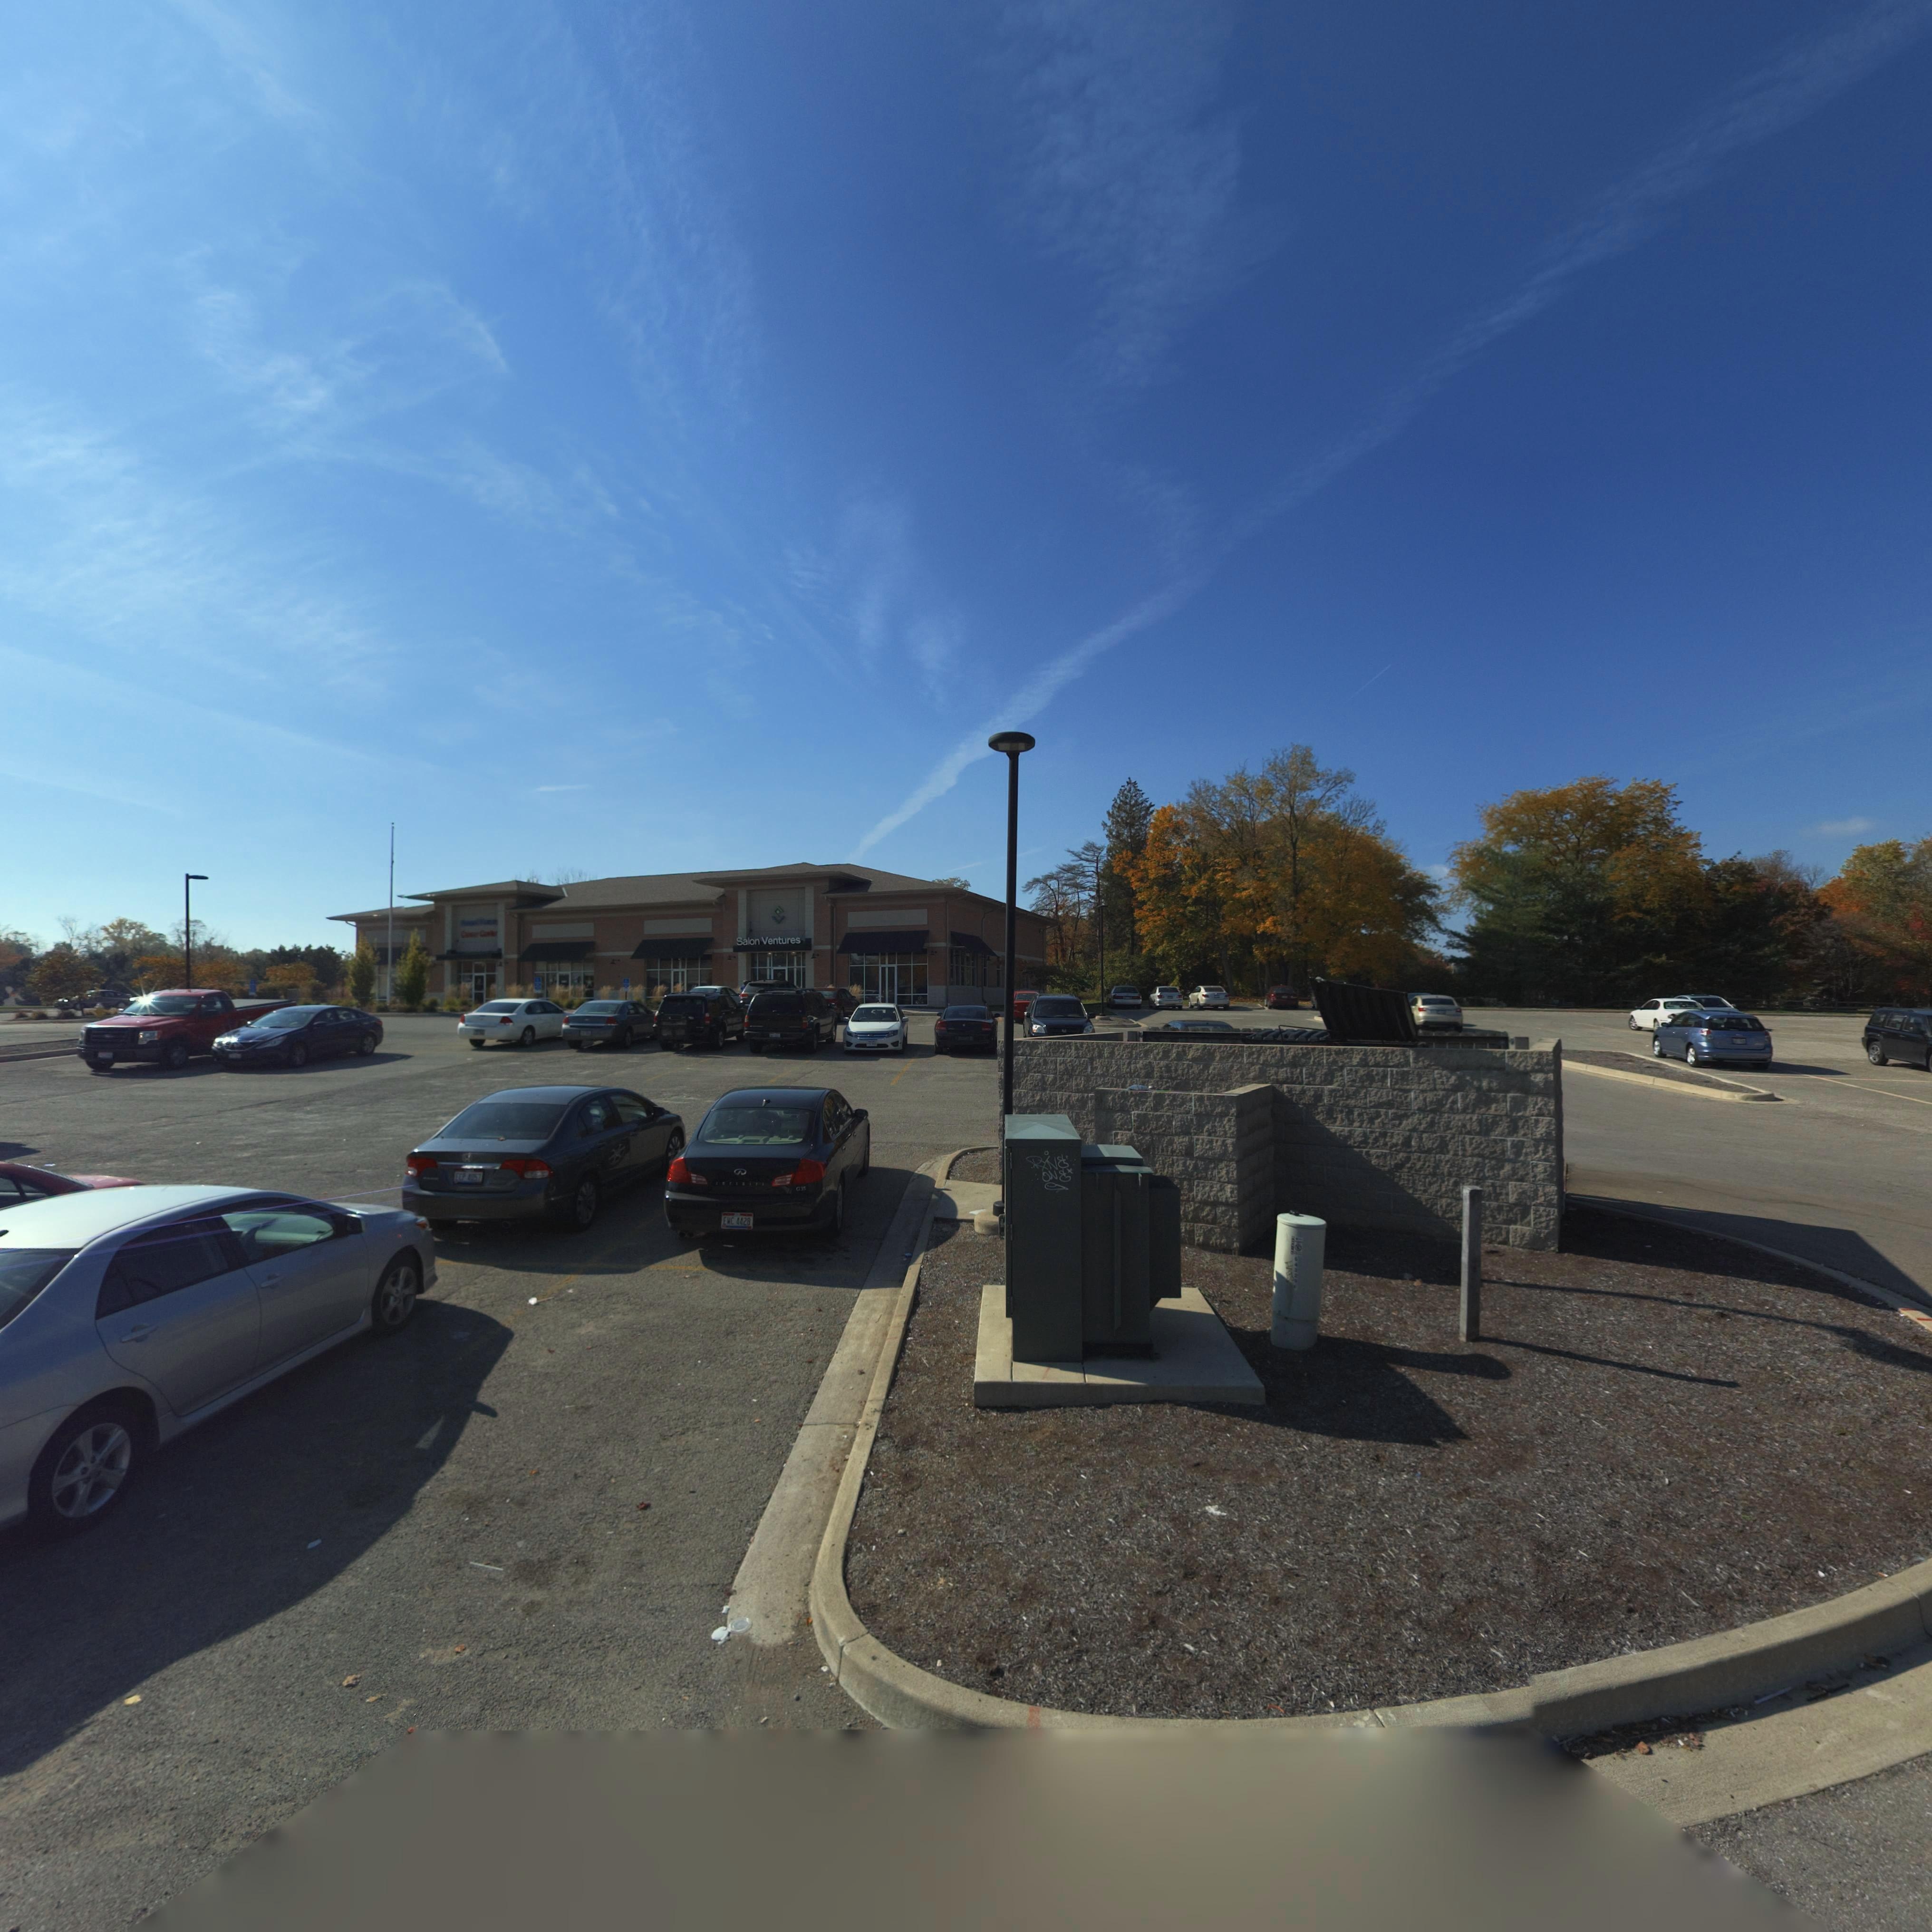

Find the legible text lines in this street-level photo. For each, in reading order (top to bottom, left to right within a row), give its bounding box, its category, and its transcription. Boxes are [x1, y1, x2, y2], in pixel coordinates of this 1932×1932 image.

[735, 936, 802, 947] BusinessName: Salon Ventures
[1293, 1256, 1299, 1284] None: *432*